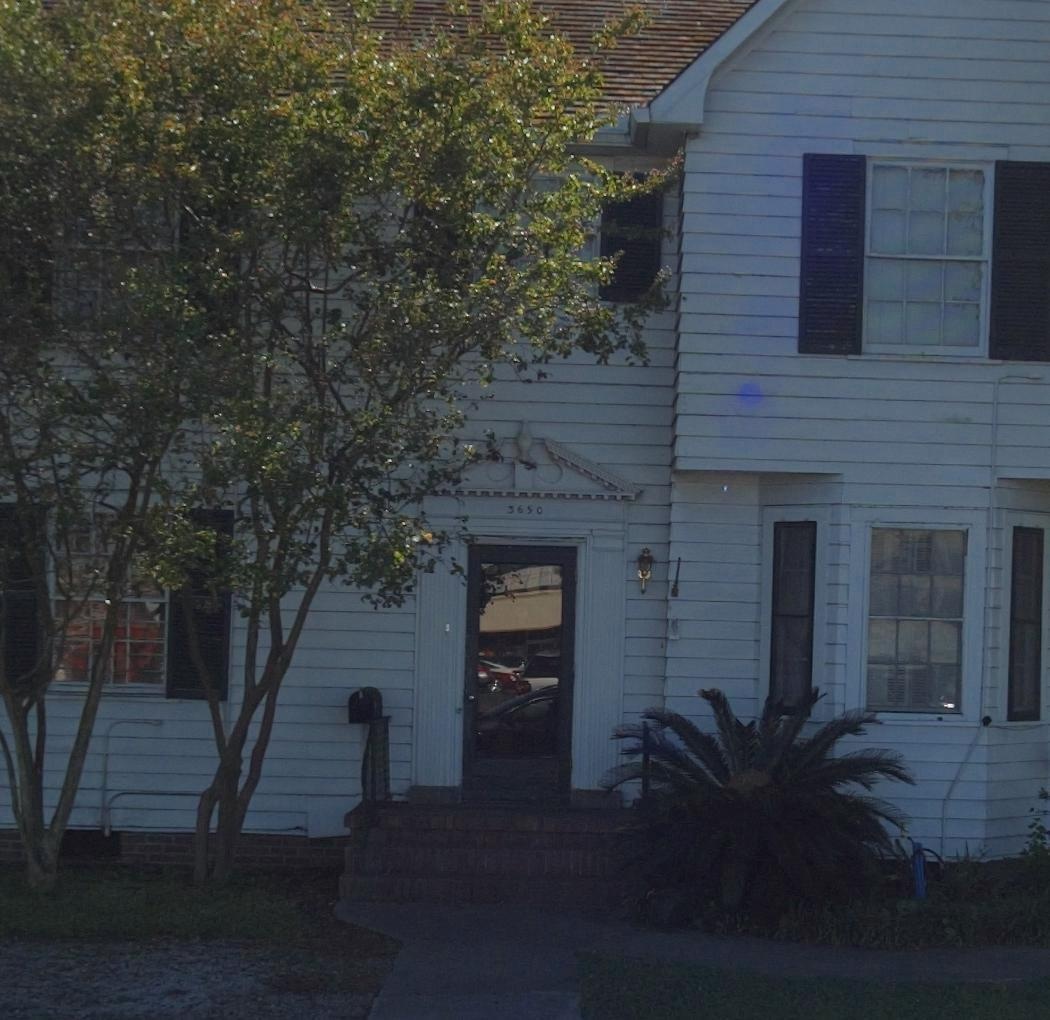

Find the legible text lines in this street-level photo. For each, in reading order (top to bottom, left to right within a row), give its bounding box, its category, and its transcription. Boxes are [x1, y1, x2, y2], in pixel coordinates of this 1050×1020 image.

[504, 502, 546, 518] StreetNumber: 3650